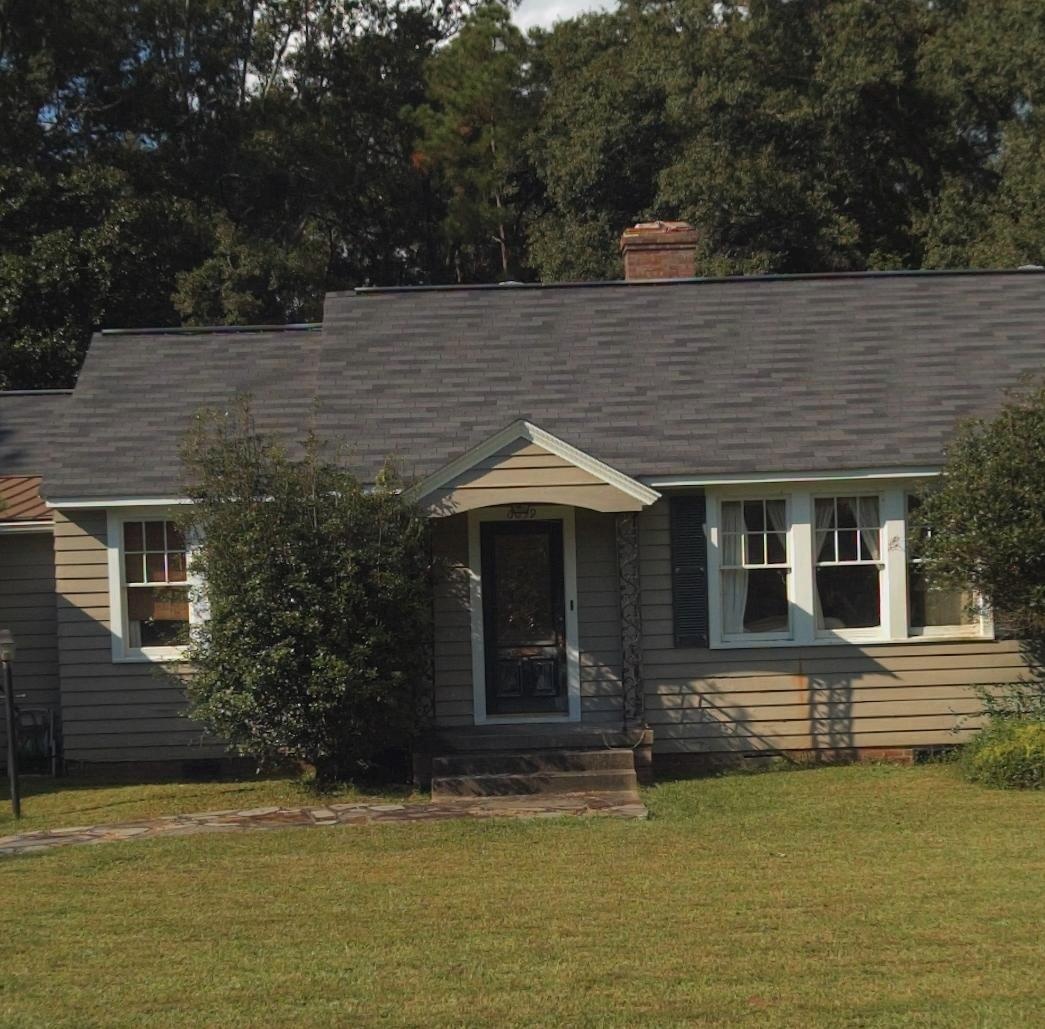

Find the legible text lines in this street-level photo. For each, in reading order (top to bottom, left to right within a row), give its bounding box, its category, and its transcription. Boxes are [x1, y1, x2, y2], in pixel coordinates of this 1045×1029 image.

[505, 505, 537, 520] StreetNumber: 6039